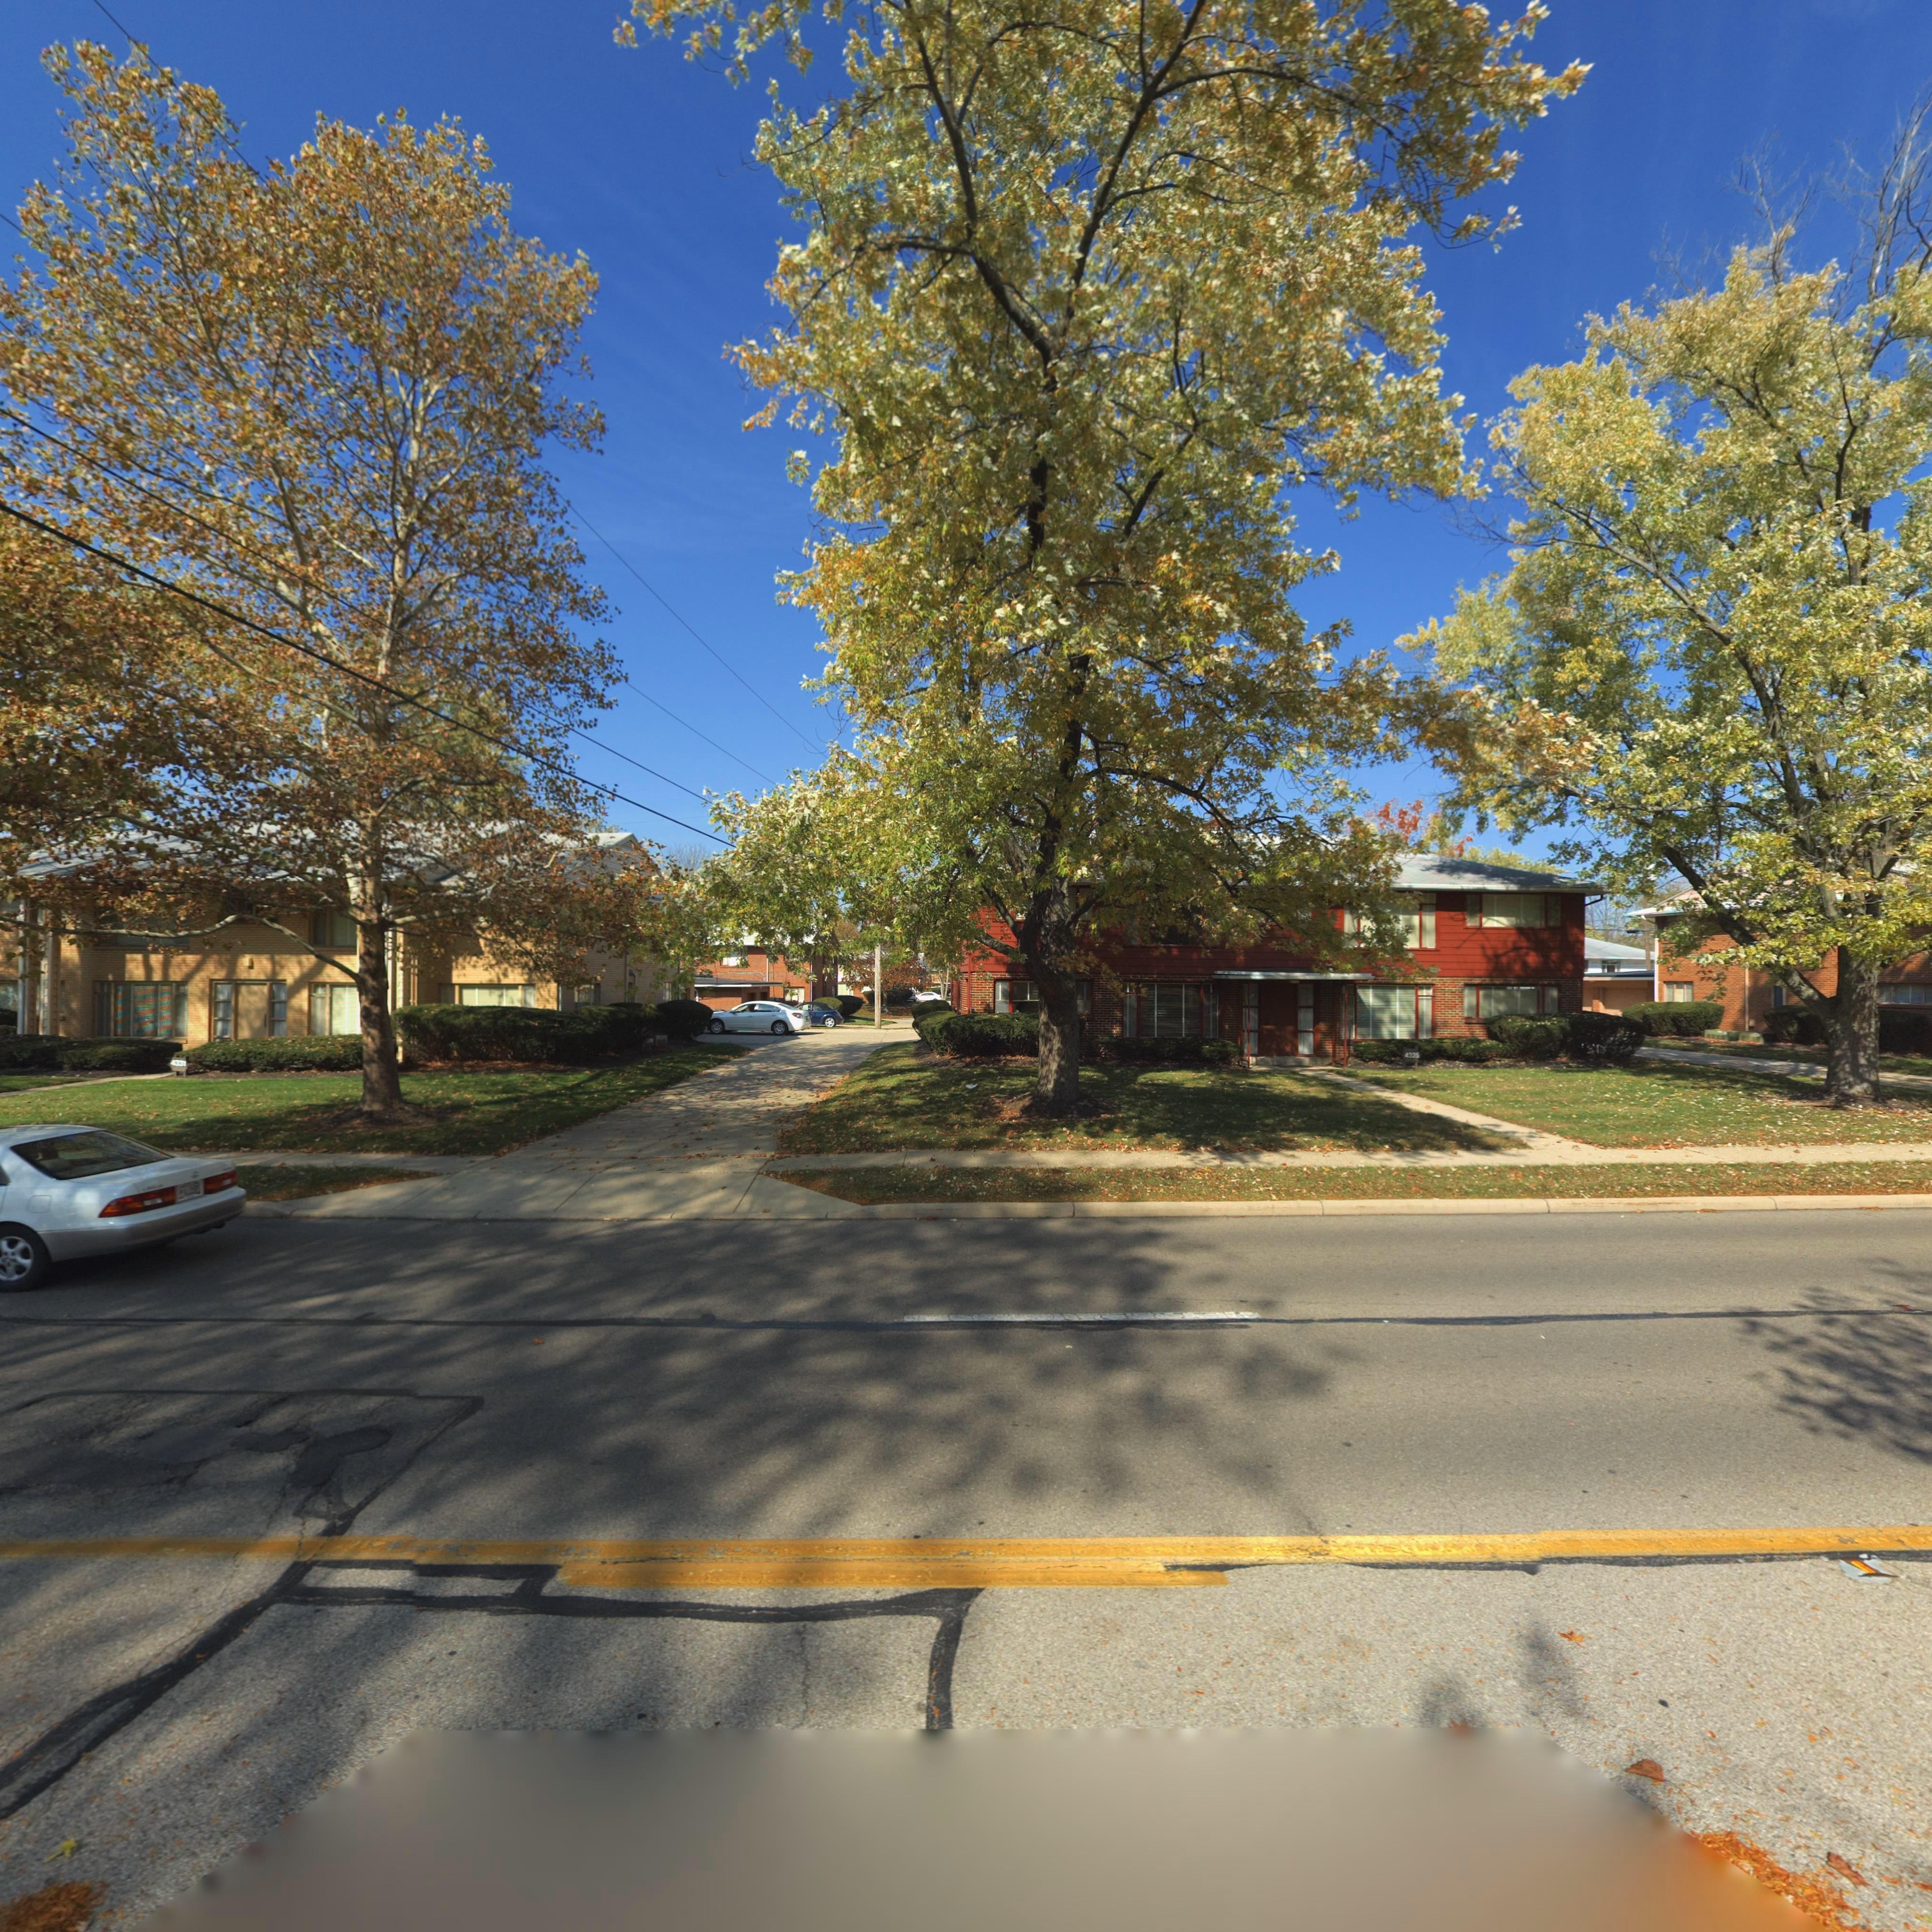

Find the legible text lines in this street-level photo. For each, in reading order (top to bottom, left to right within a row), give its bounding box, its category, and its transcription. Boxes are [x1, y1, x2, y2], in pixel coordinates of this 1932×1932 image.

[1403, 1051, 1420, 1059] StreetNumber: 4325